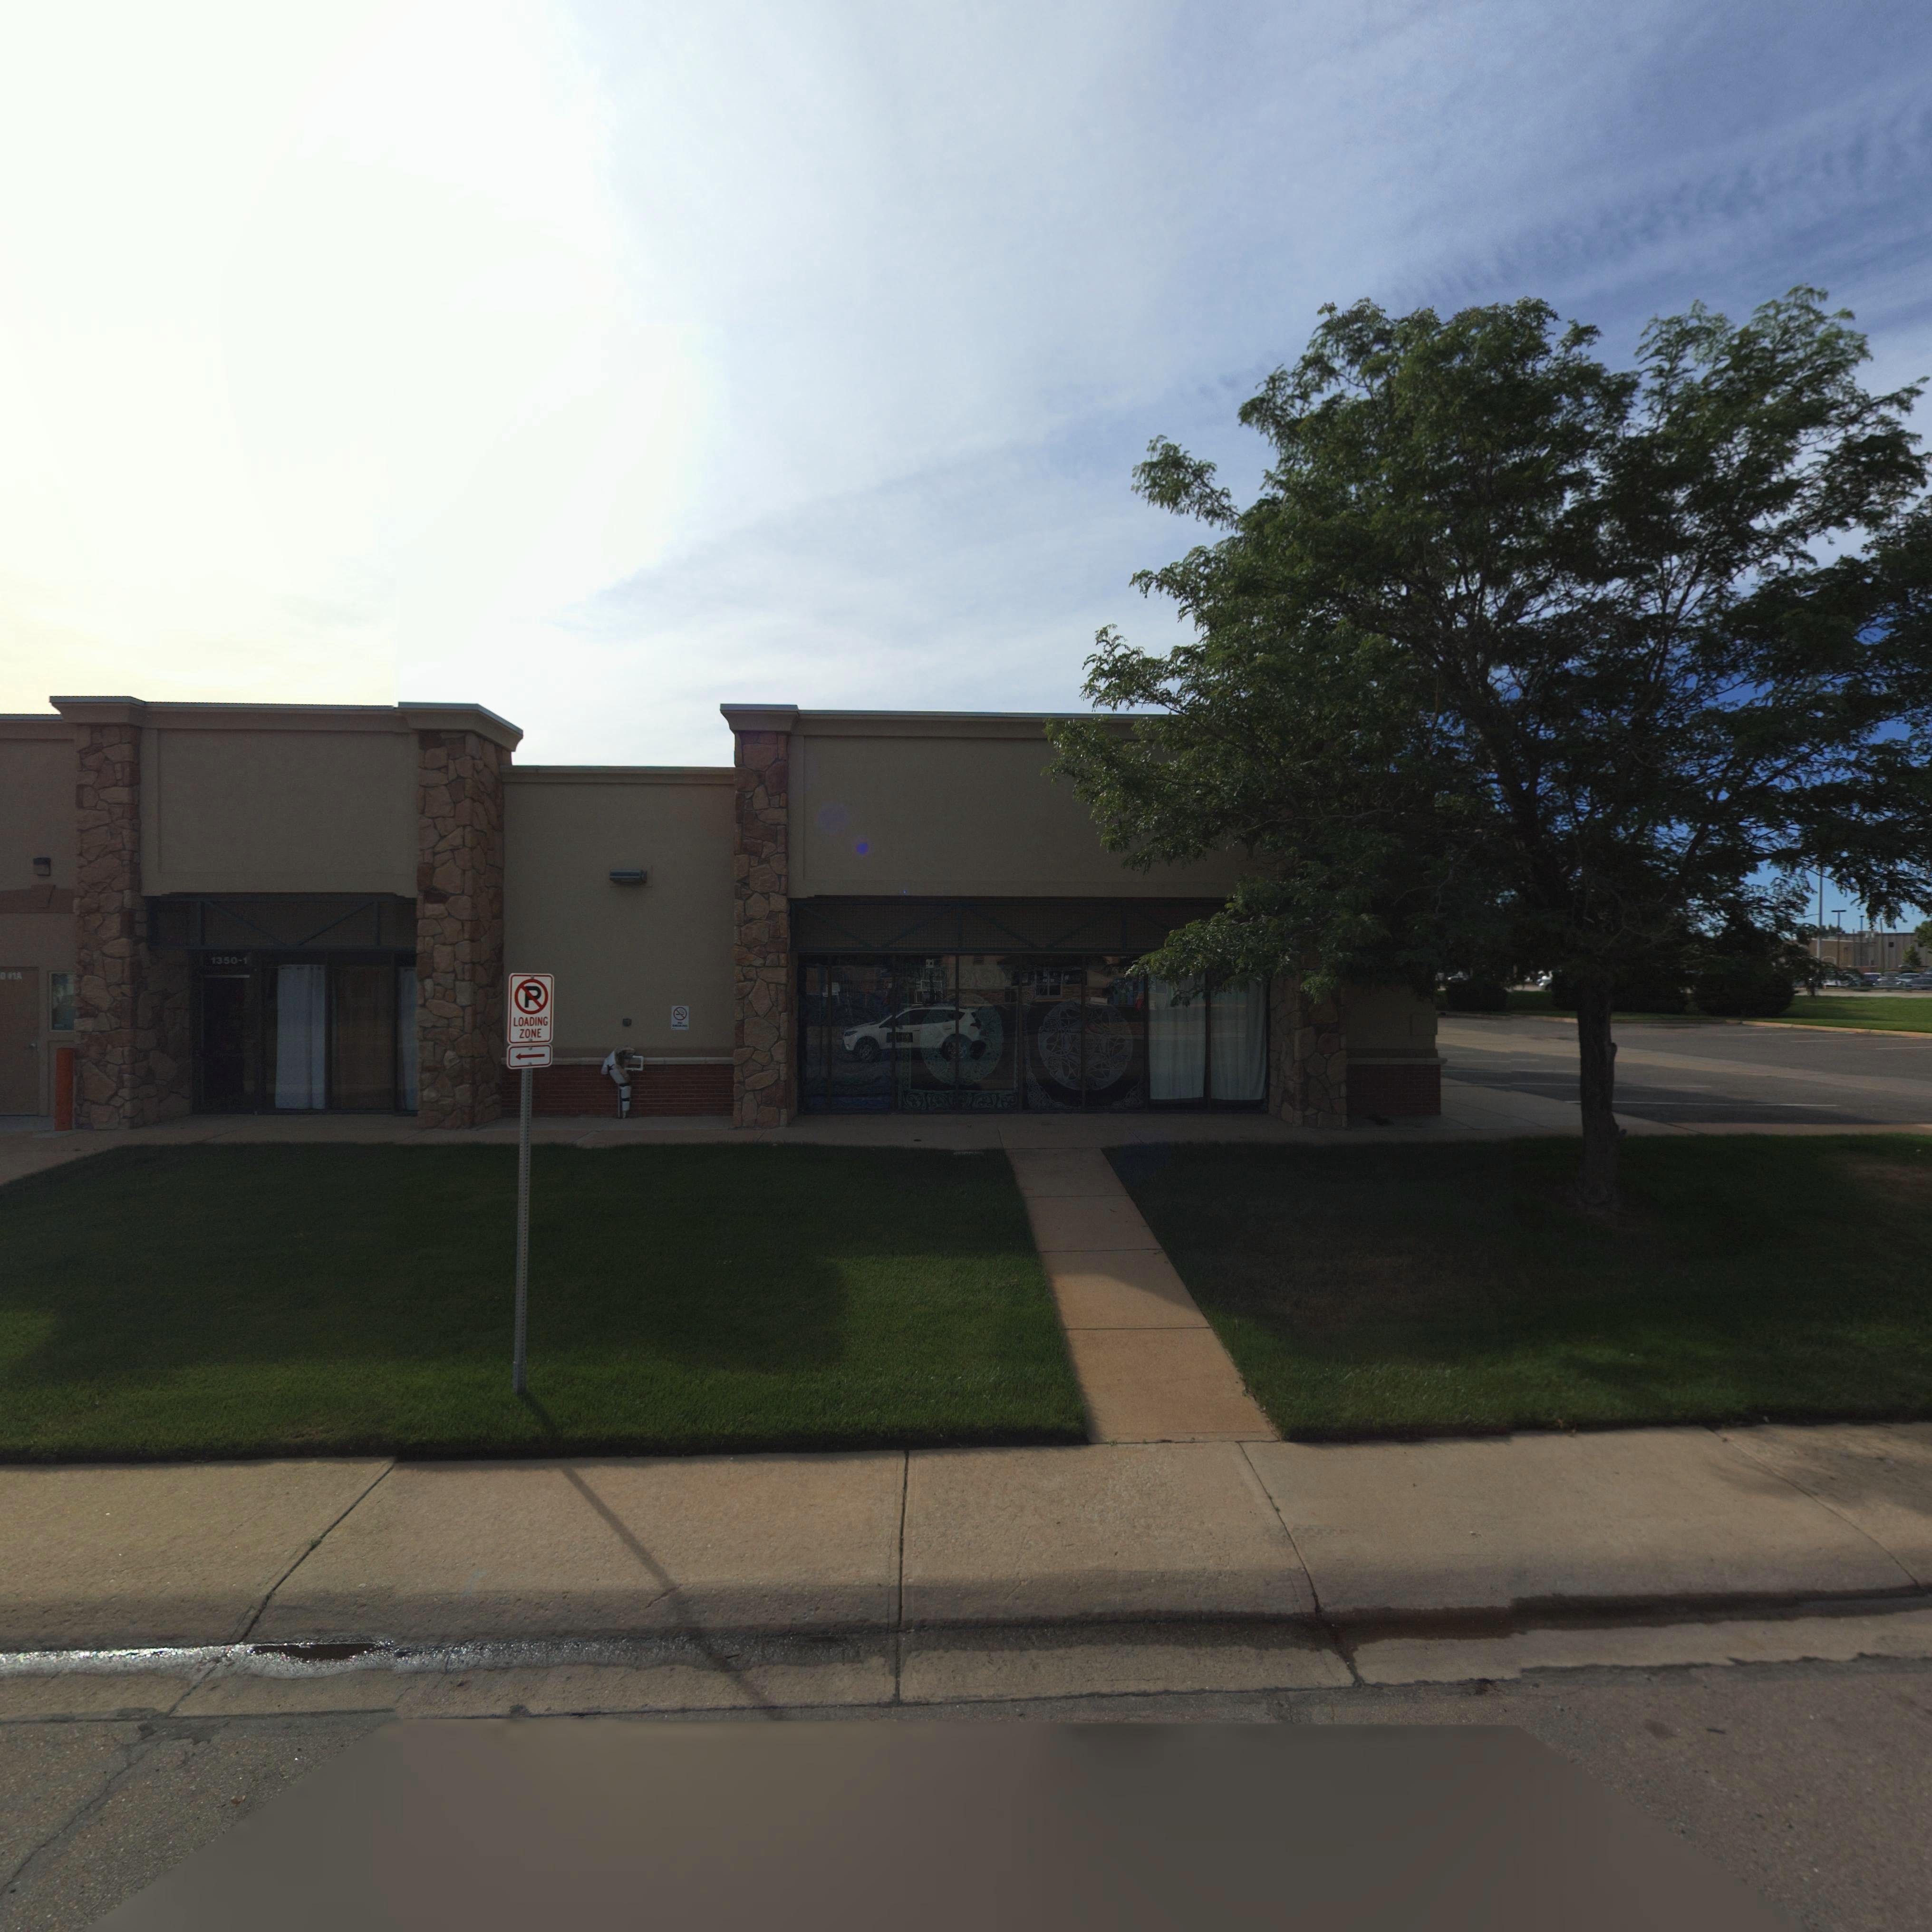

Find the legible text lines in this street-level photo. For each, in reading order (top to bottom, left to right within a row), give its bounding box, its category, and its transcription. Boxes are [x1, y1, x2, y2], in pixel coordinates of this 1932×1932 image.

[210, 956, 248, 965] StreetNumber: 1350-1
[0, 971, 24, 980] StreetNumber: 0*1A